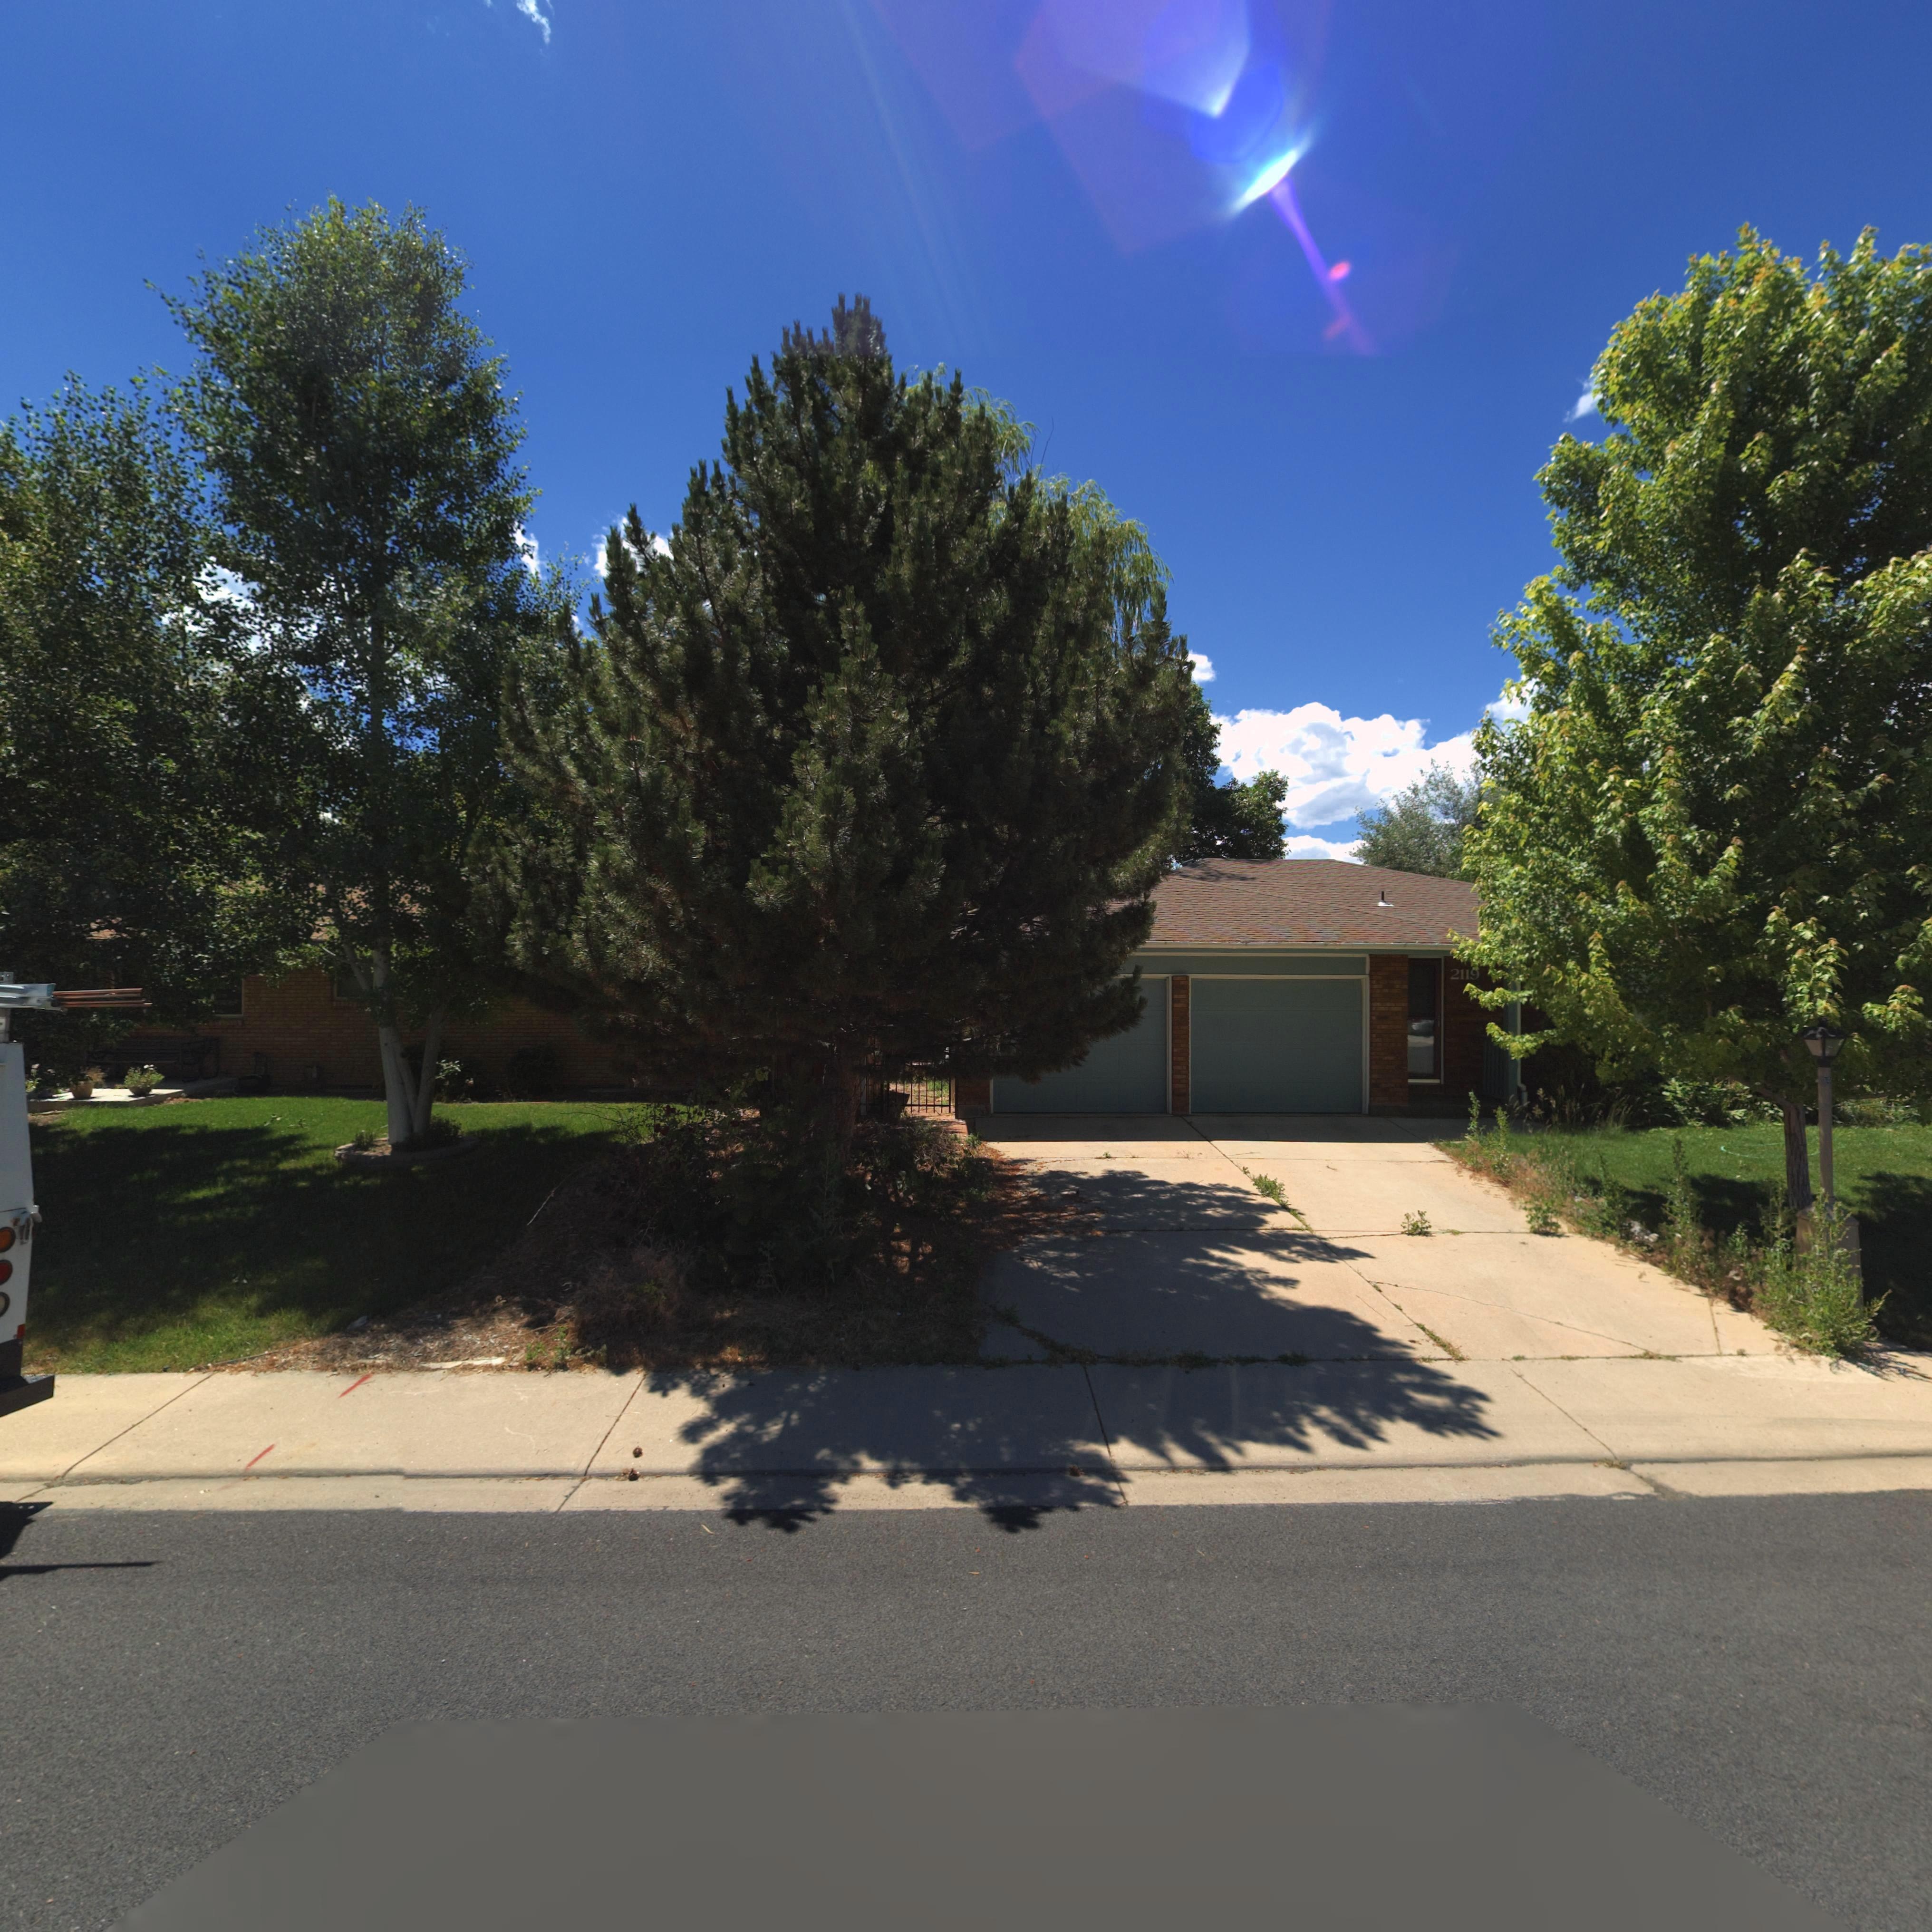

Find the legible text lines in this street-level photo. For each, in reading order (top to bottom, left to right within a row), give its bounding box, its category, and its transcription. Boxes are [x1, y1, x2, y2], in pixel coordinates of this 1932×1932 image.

[1449, 968, 1480, 980] StreetNumber: 2119